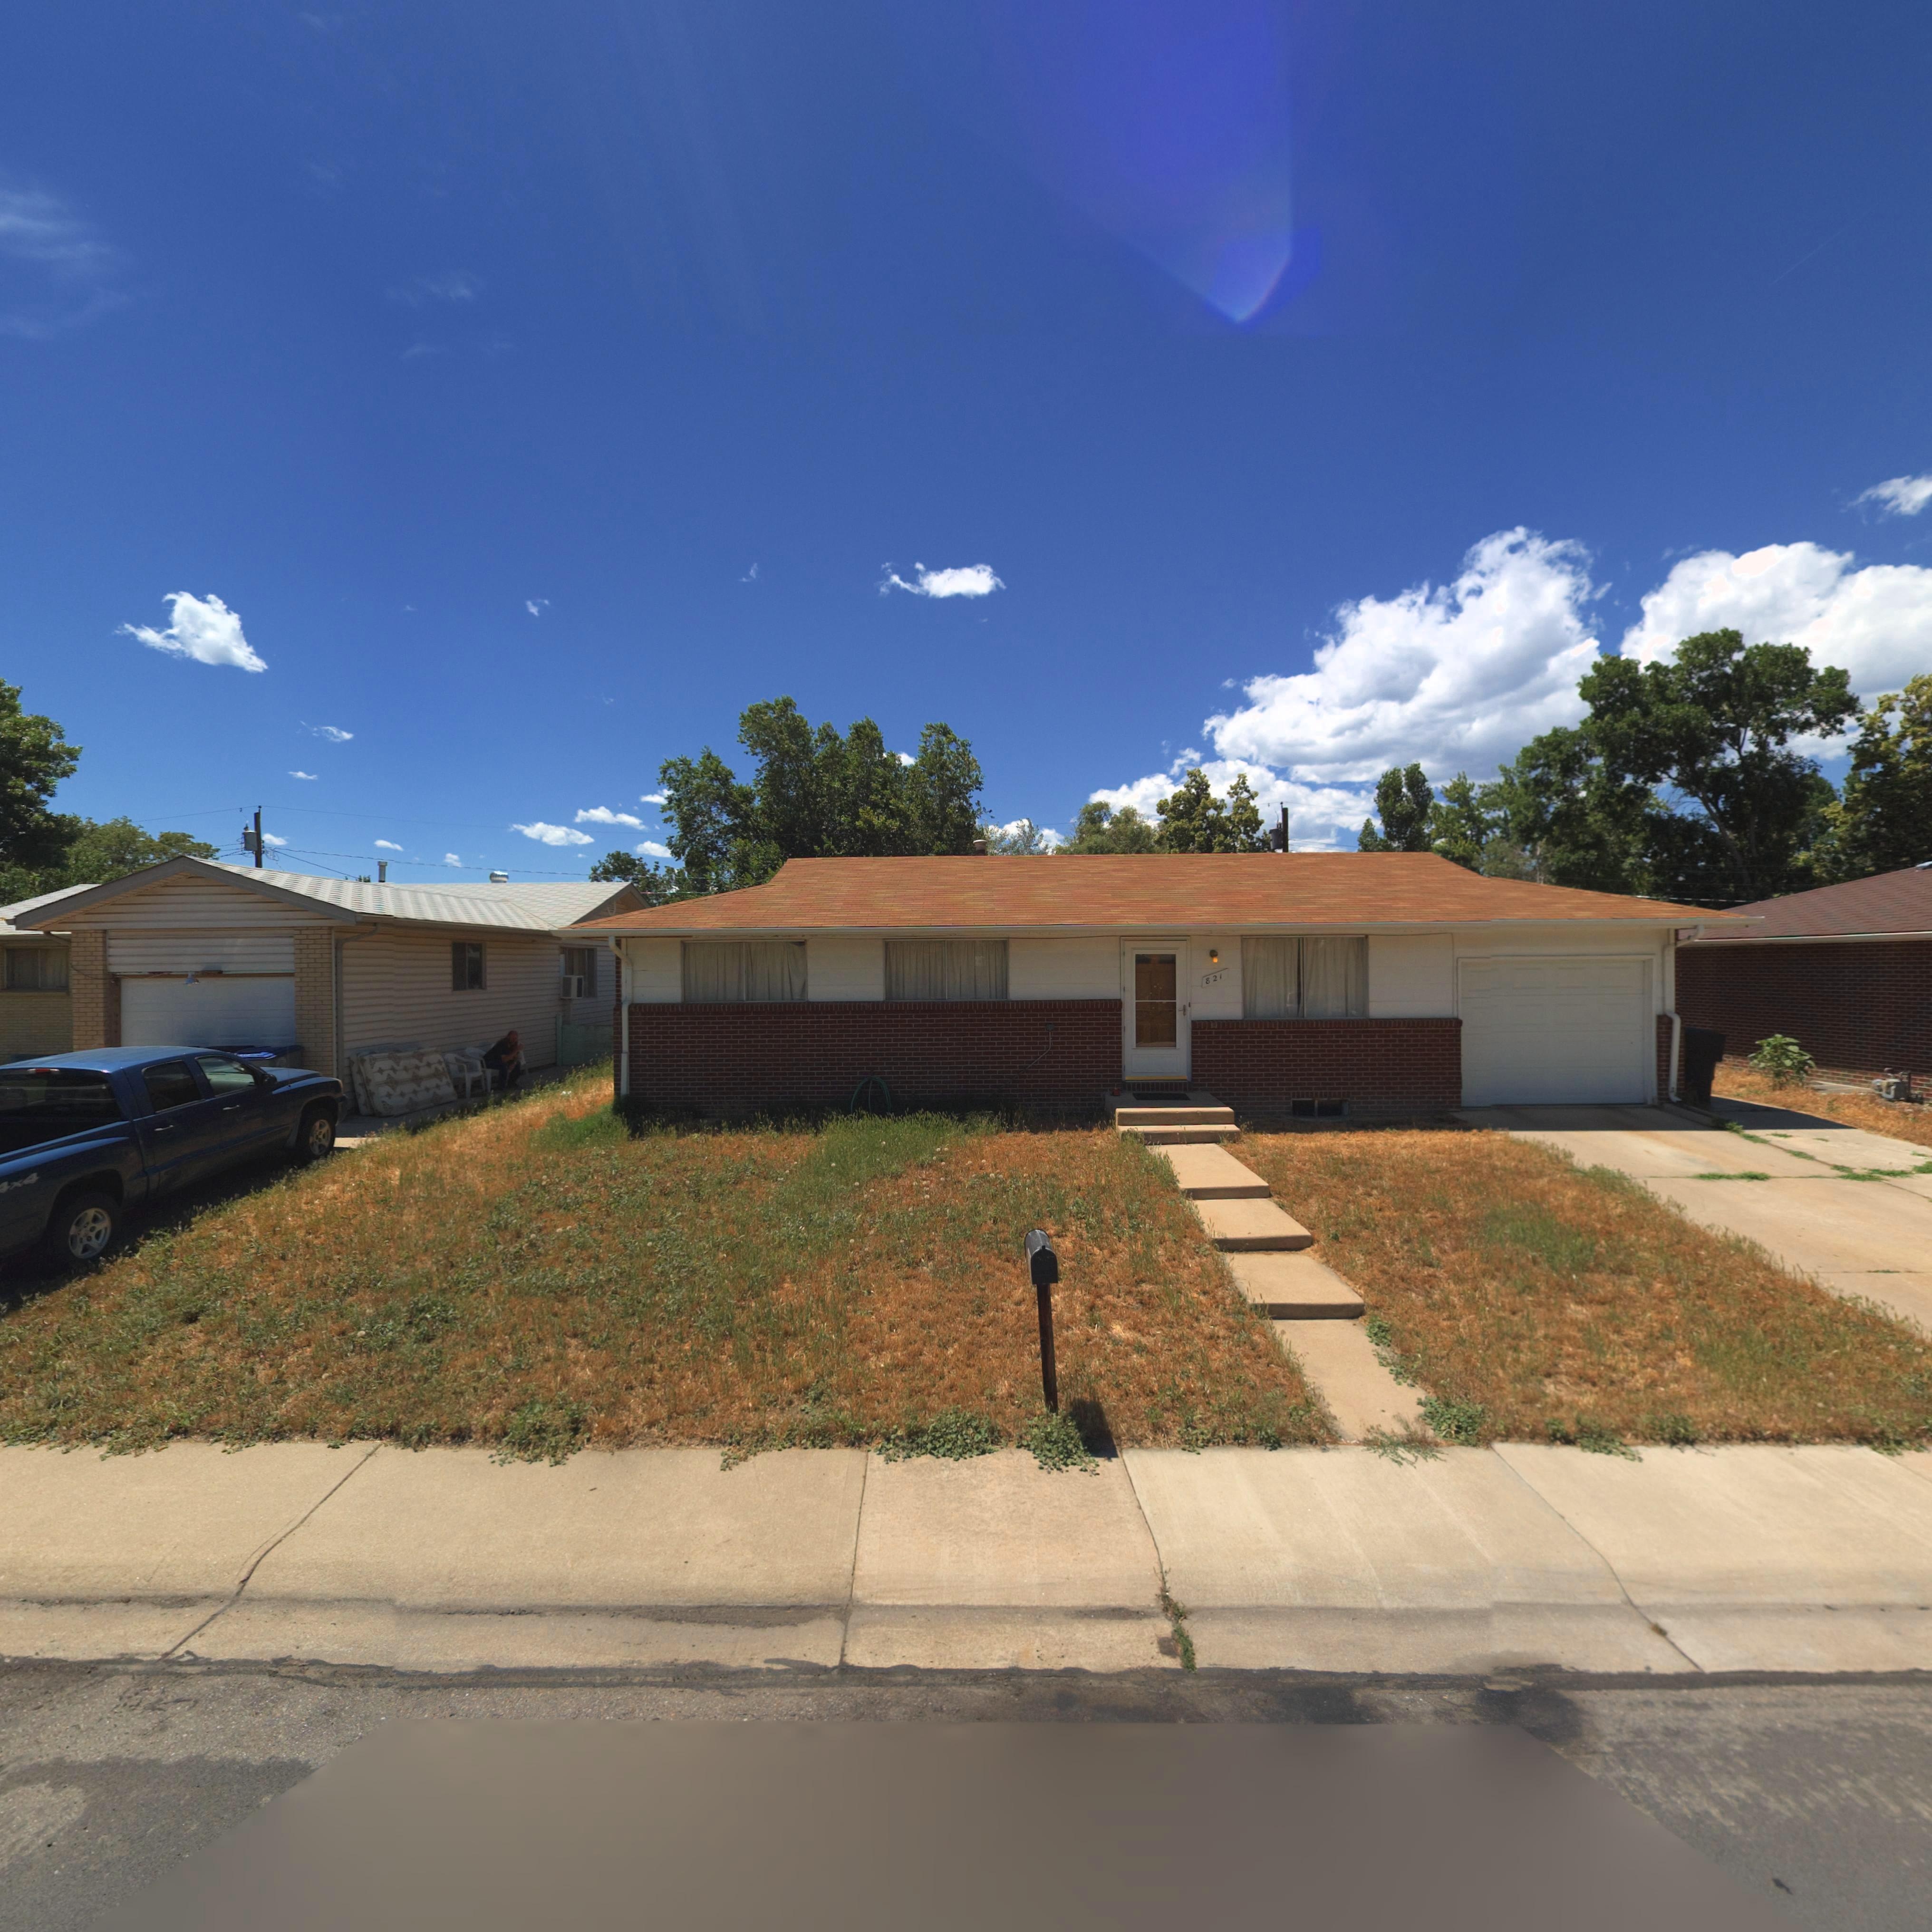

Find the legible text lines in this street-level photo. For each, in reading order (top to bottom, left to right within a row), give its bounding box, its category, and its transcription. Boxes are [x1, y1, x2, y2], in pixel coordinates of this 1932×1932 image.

[1205, 972, 1222, 985] StreetNumber: 821